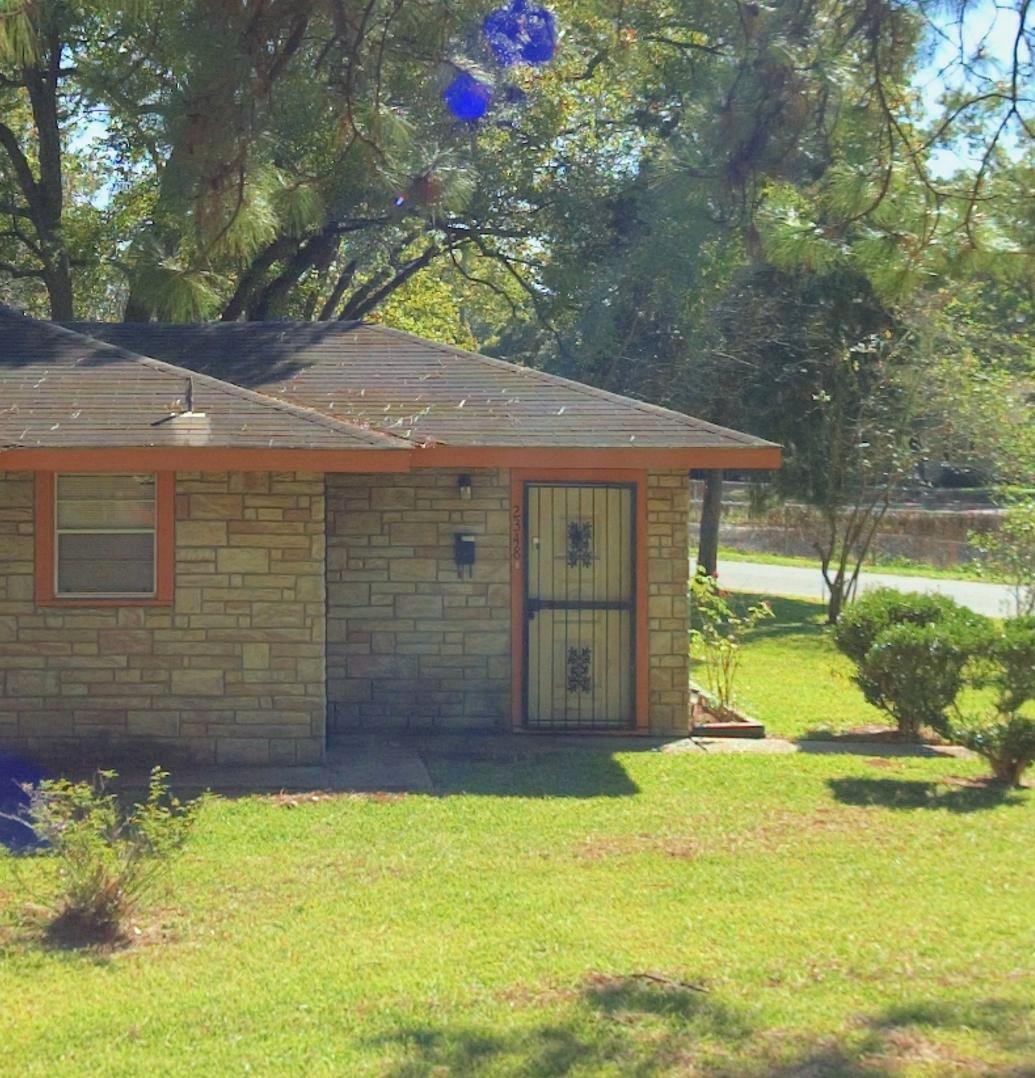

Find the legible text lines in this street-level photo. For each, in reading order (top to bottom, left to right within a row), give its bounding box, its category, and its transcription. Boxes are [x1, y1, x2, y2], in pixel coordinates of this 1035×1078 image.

[511, 503, 522, 561] StreetNumber: 2348